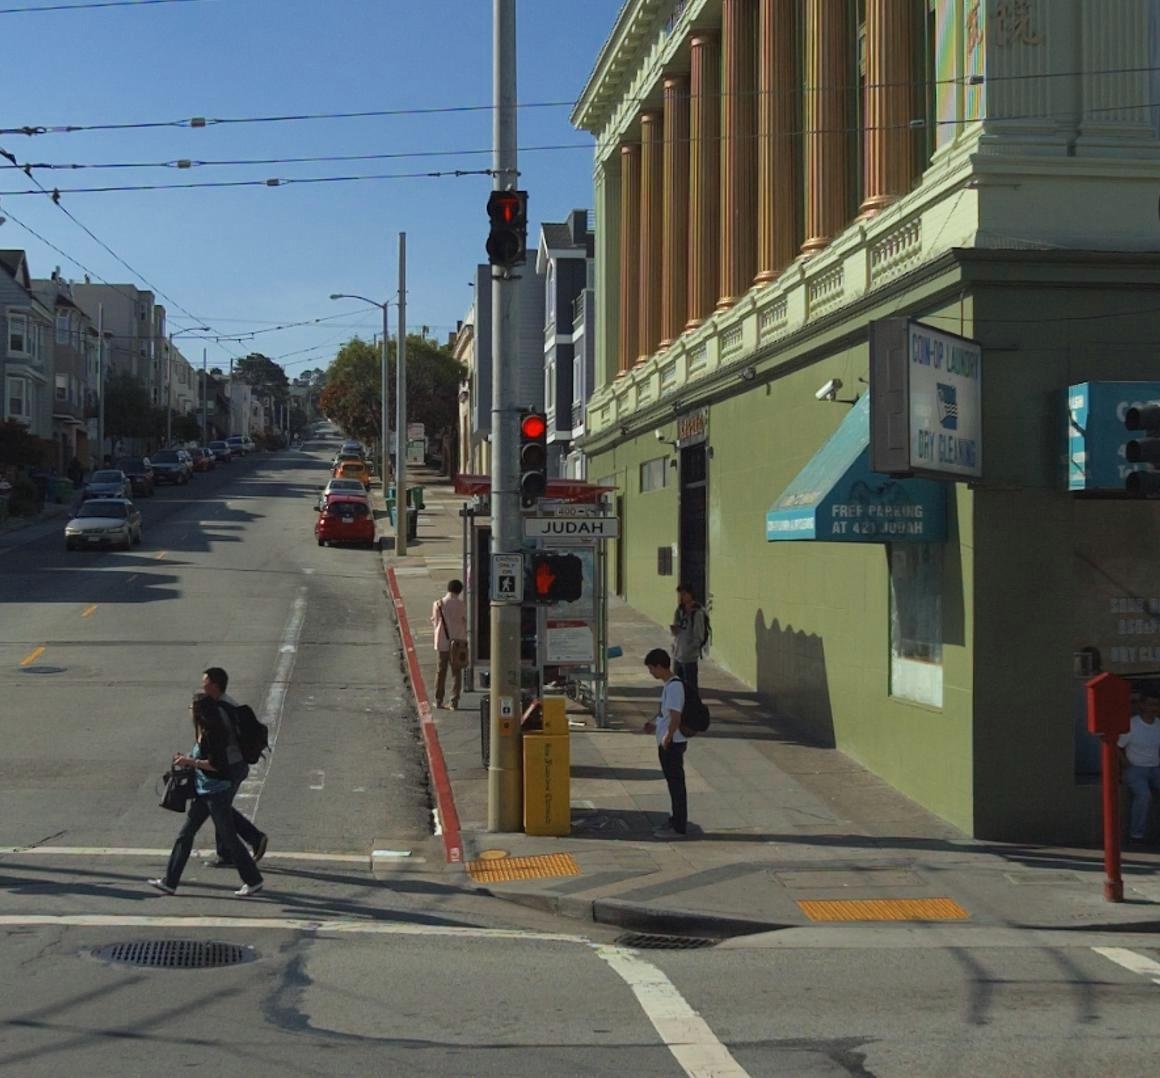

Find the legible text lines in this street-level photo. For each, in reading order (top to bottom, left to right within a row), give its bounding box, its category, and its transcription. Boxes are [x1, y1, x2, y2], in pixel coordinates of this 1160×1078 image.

[911, 331, 980, 381] BusinessName: COIN-OP LAUNDRY
[915, 426, 979, 470] BusinessName: DRY CLEANING
[556, 505, 586, 516] StreetNumberRange: 400->
[830, 503, 923, 520] None: FREE PARKING
[542, 518, 605, 537] StreetName: JUDAH
[830, 520, 924, 537] None: AT 420 JUDAH